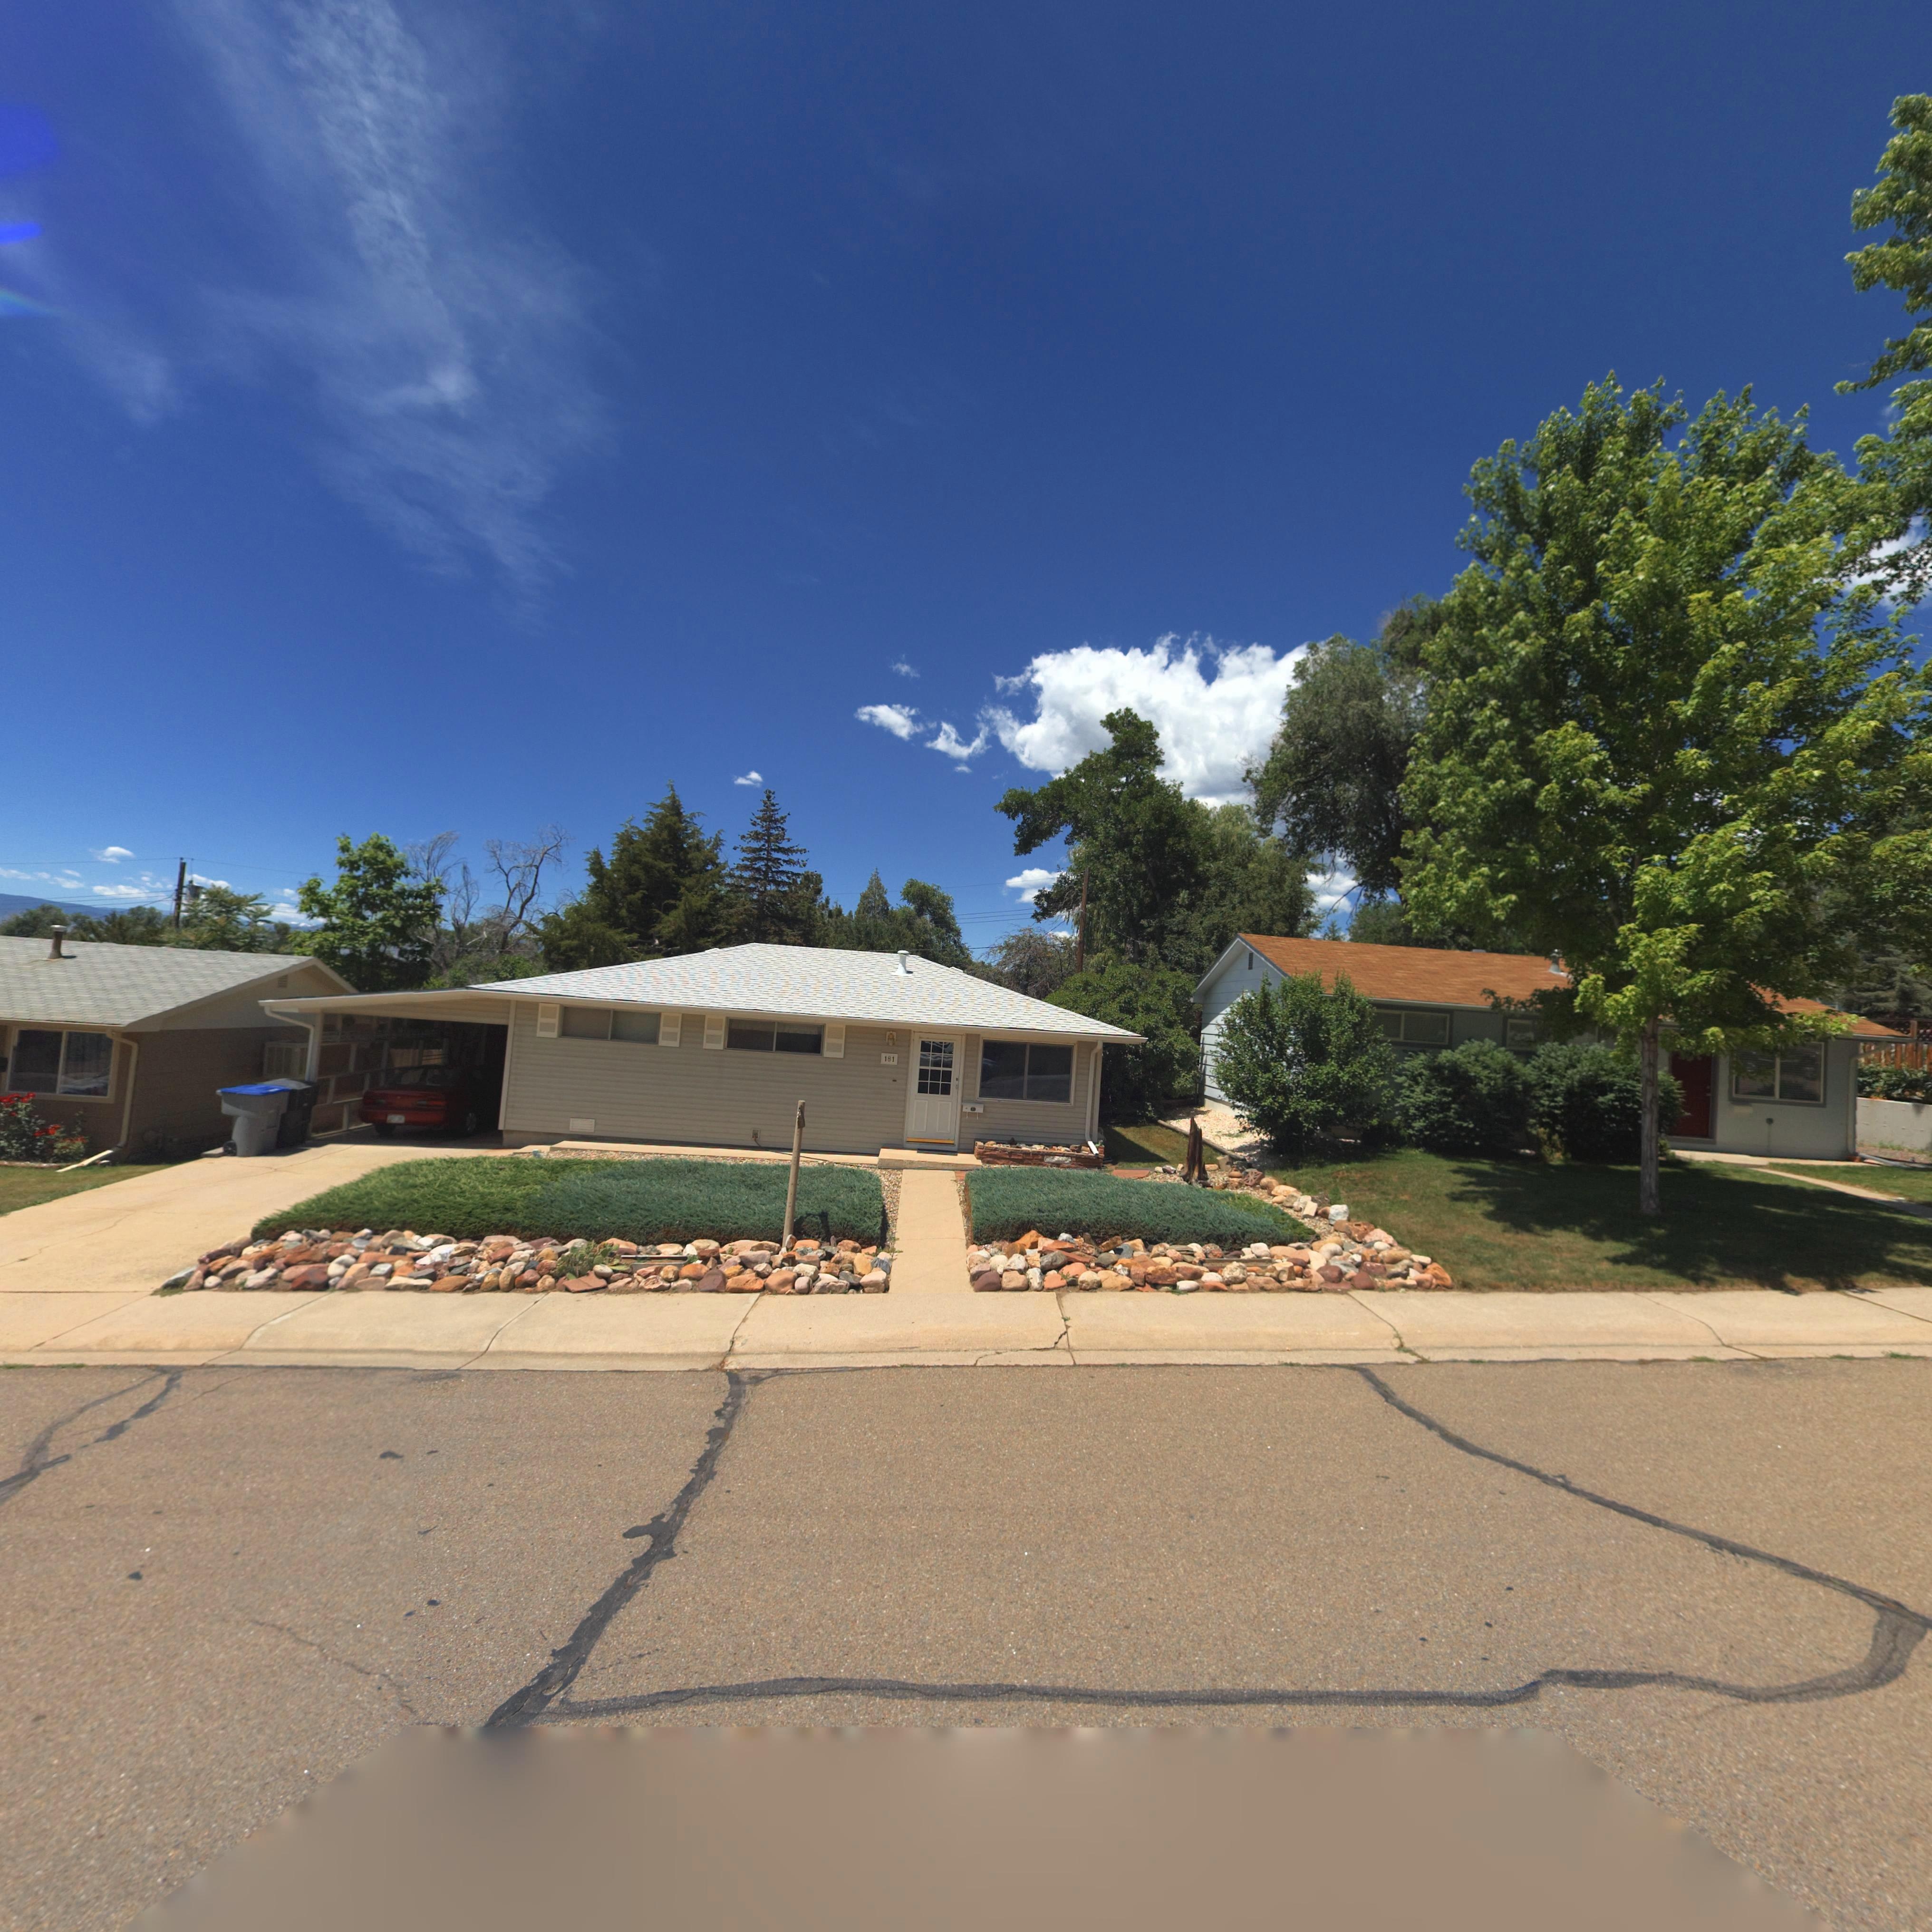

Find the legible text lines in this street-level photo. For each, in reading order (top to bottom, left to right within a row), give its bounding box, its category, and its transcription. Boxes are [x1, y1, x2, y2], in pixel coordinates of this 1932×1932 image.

[884, 1055, 894, 1062] StreetNumber: 181